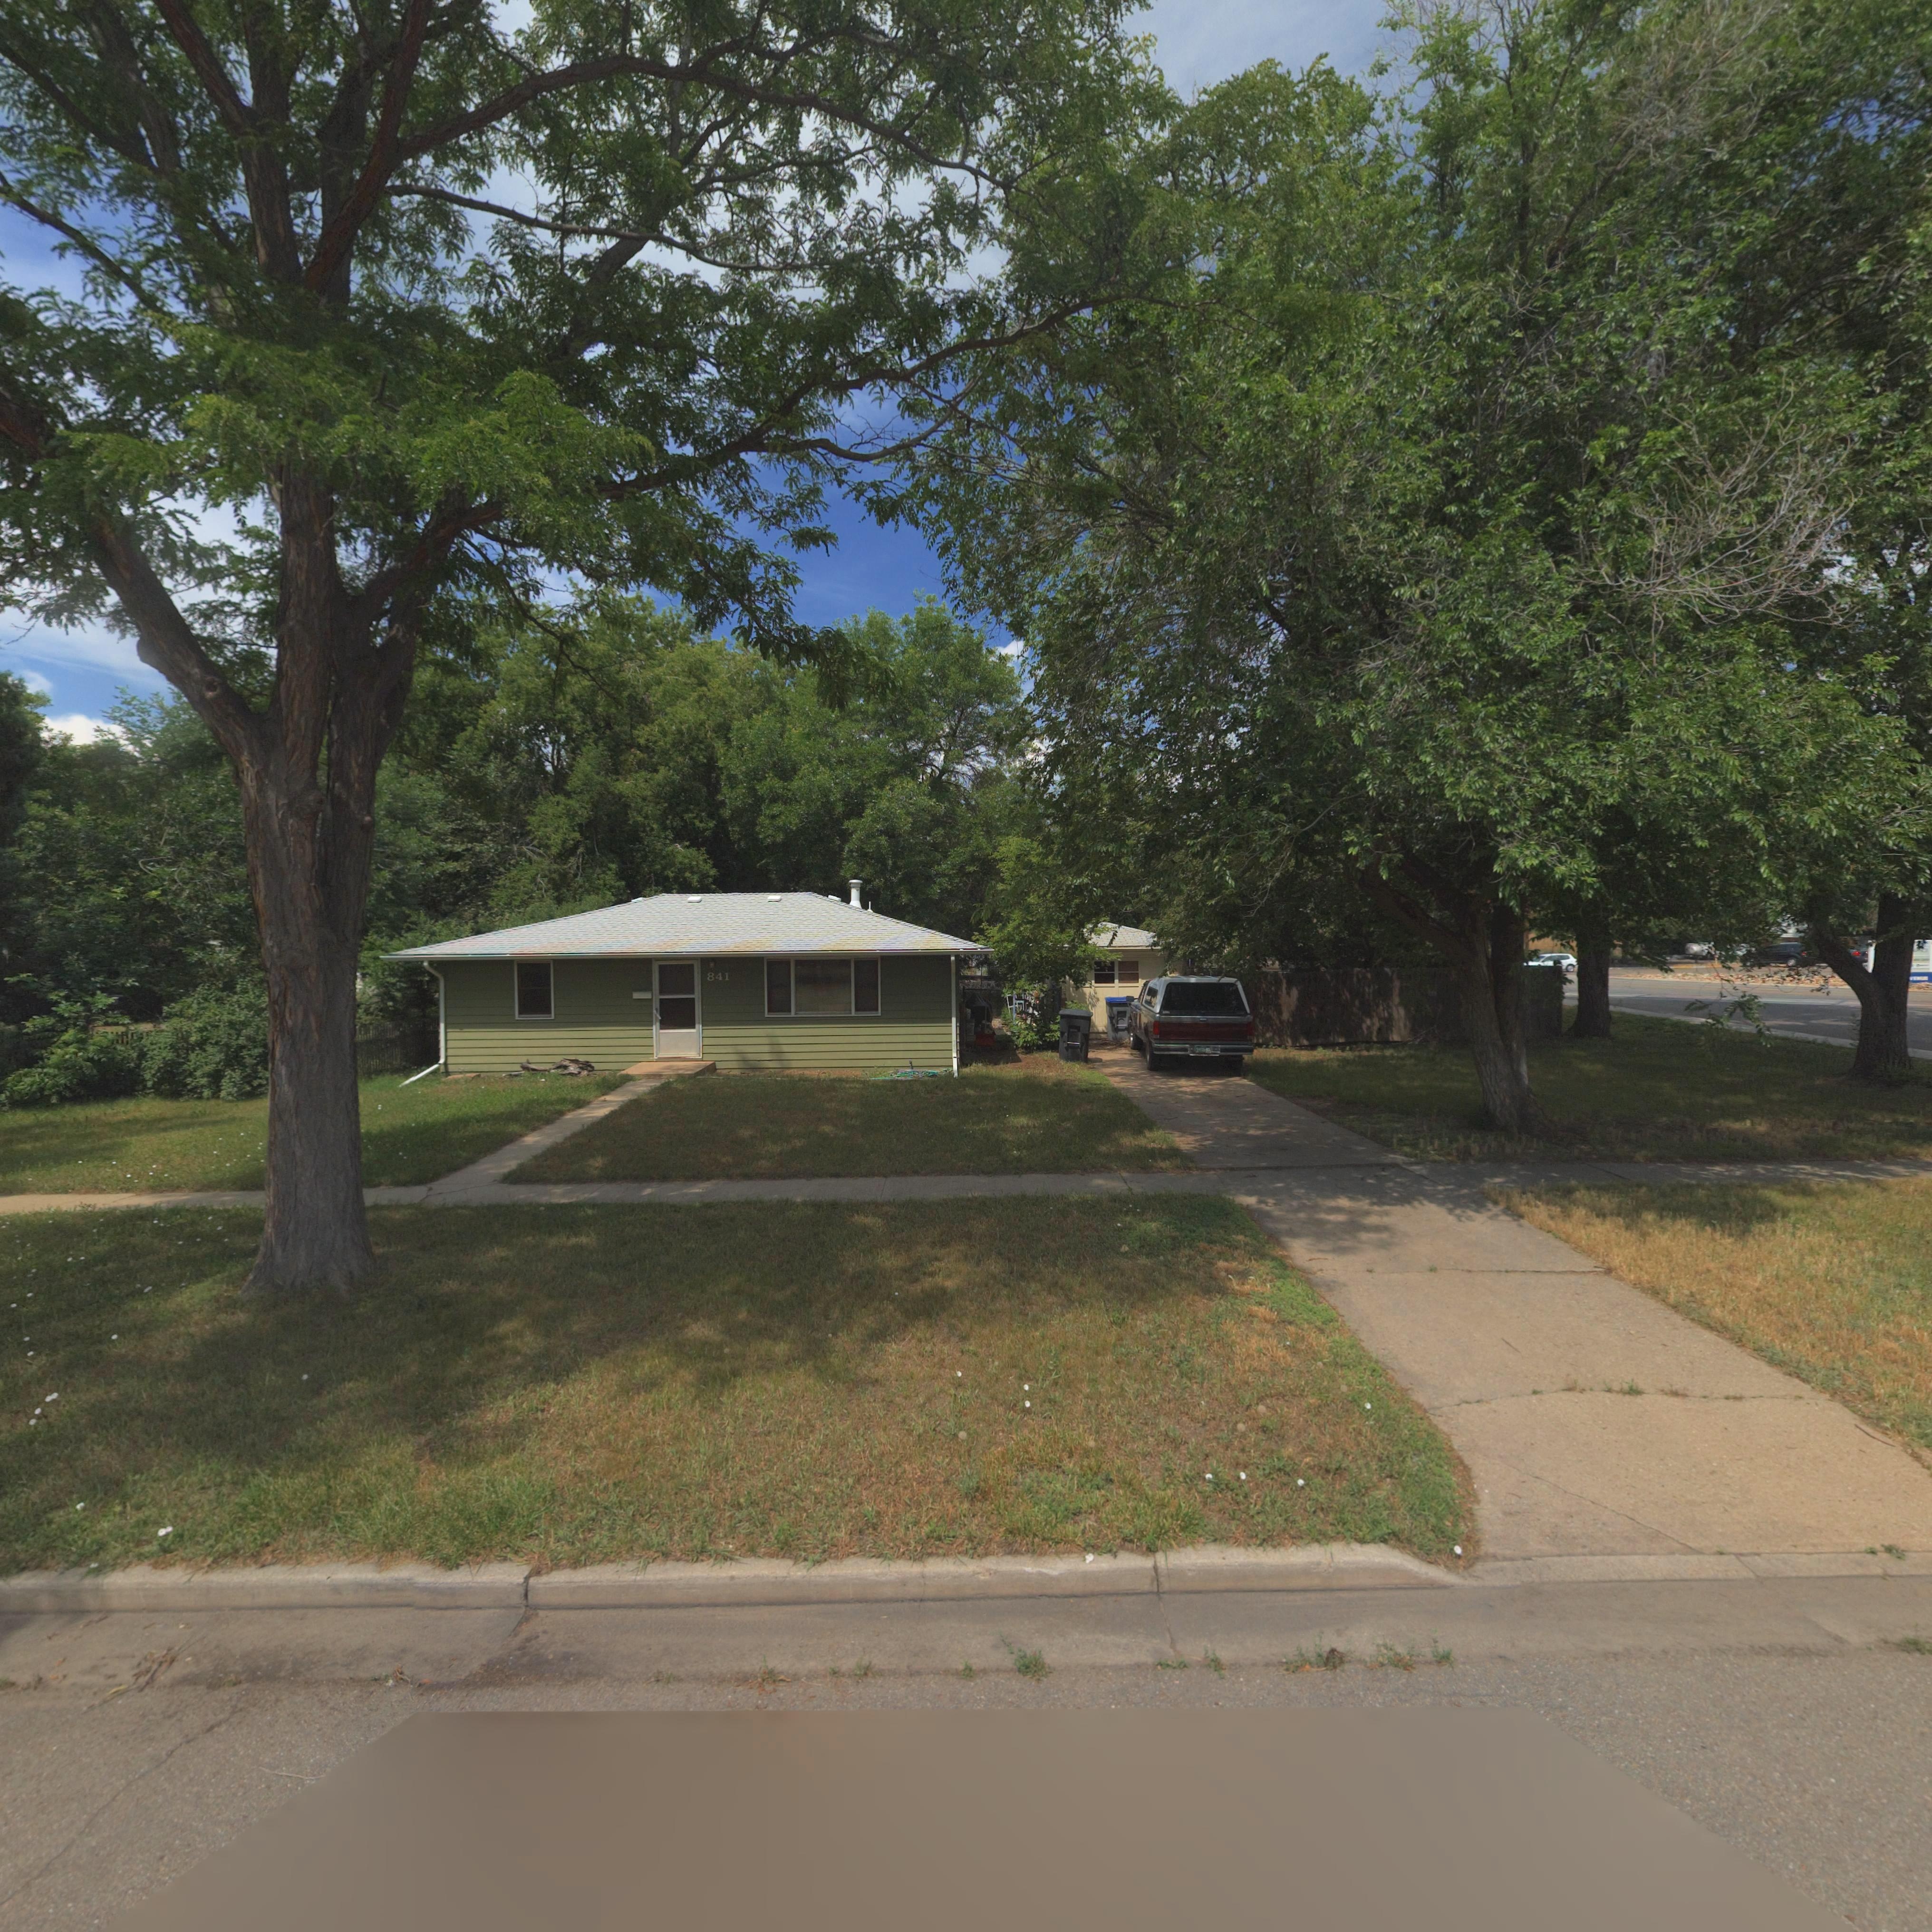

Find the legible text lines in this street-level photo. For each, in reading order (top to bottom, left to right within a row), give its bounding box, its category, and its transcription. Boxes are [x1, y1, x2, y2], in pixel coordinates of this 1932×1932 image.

[706, 971, 729, 982] StreetNumber: 841